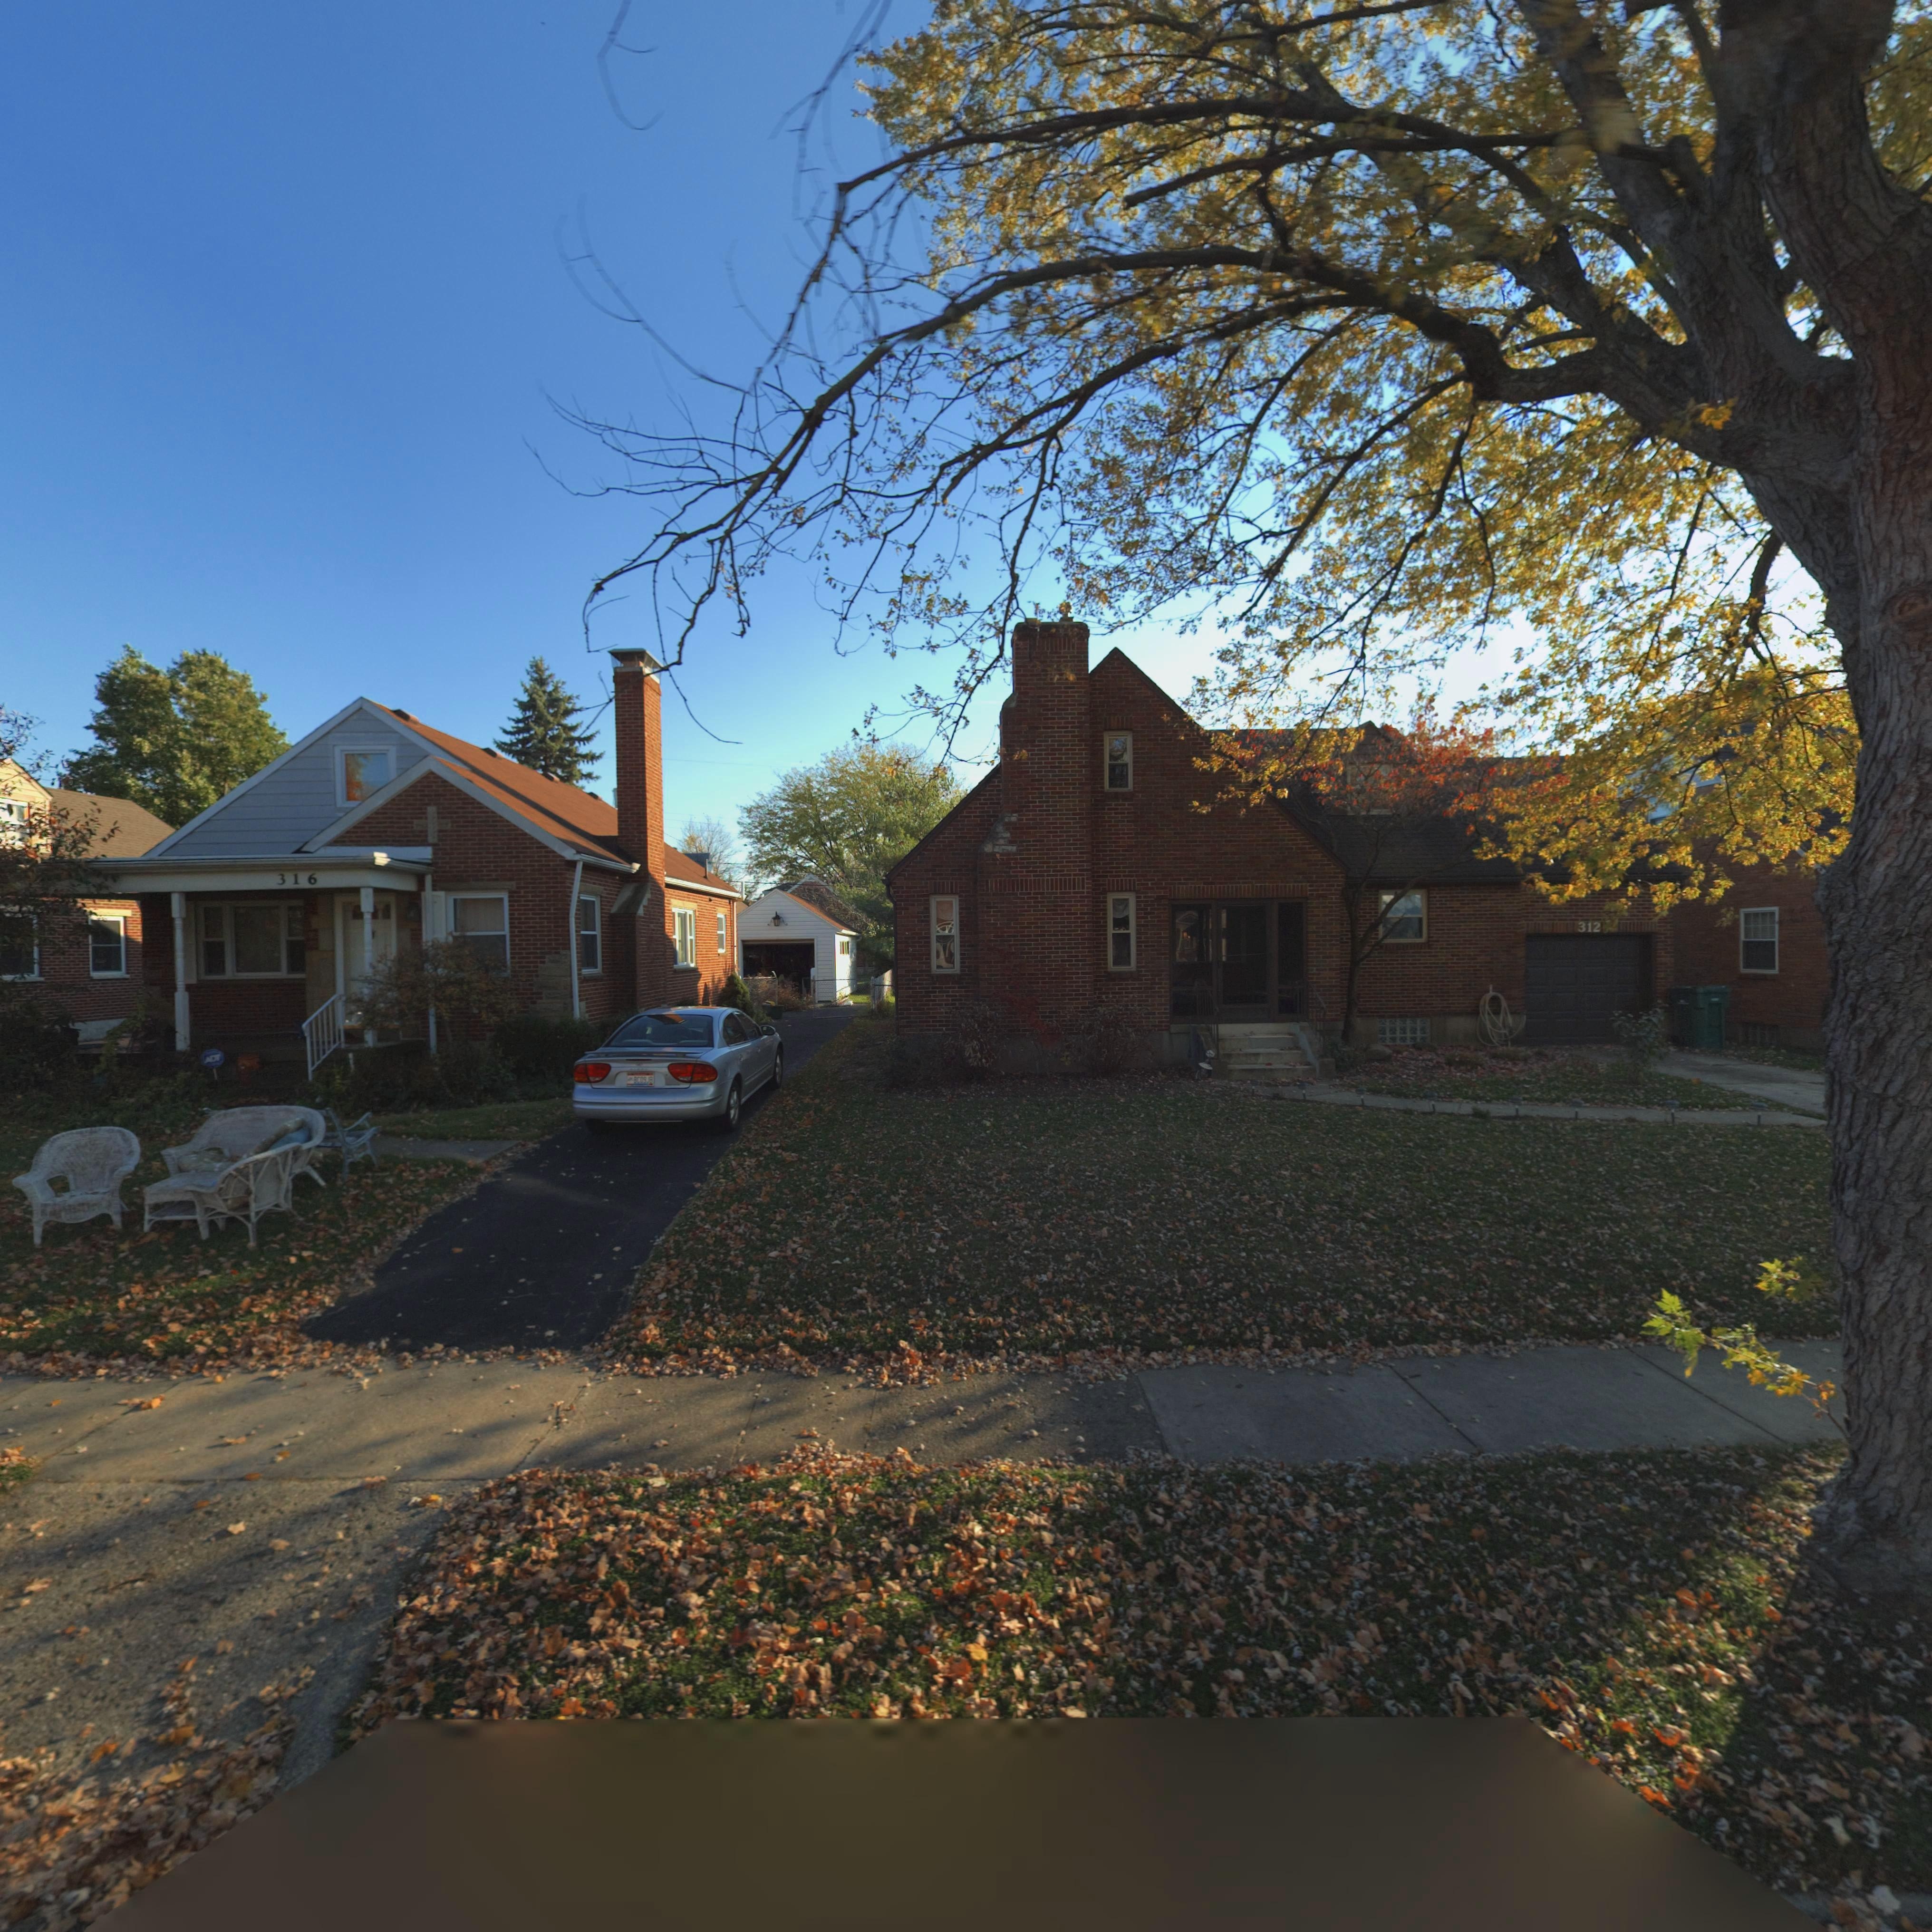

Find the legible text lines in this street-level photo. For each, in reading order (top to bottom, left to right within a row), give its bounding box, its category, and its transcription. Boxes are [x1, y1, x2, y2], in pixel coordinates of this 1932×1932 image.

[275, 871, 319, 887] StreetNumber: 316
[1577, 920, 1602, 934] StreetNumber: 312